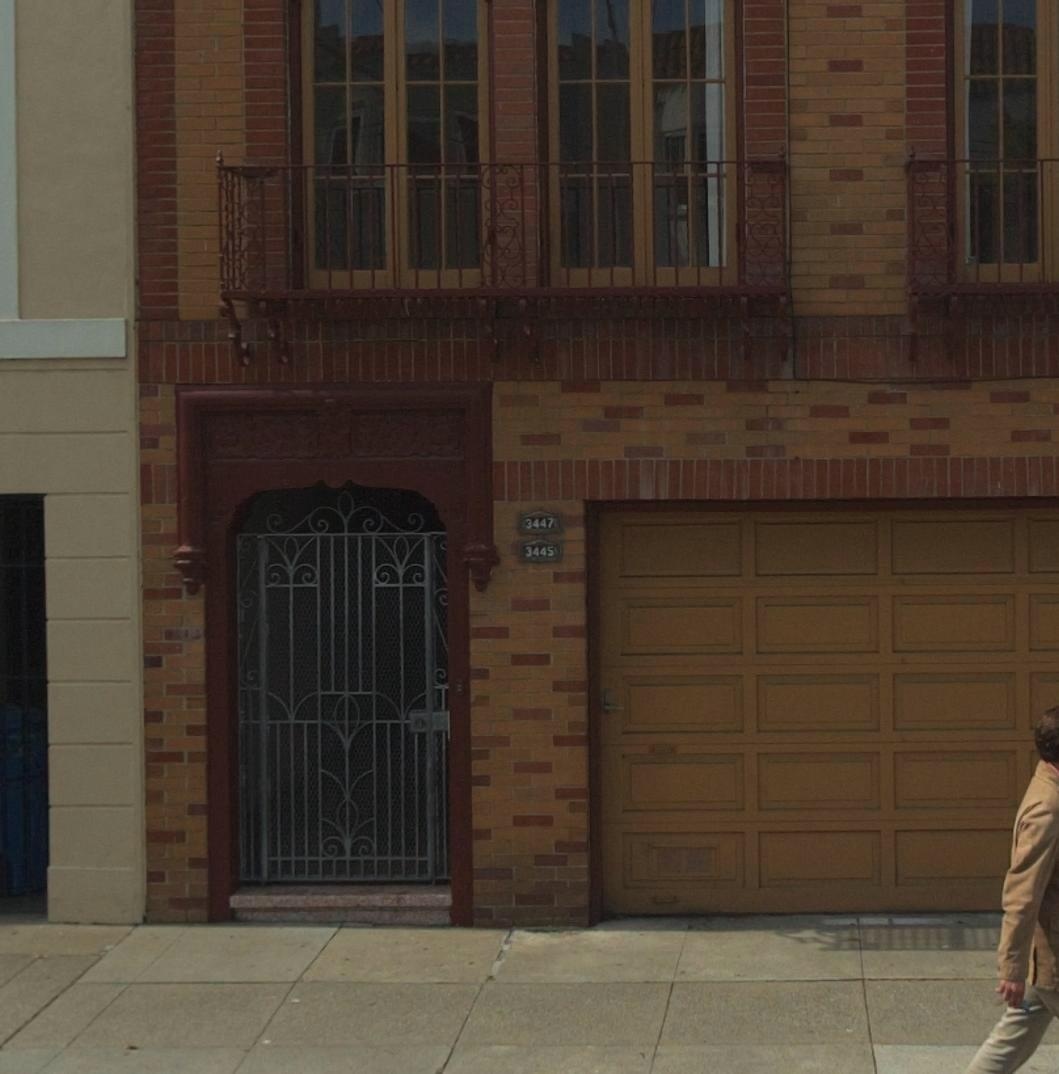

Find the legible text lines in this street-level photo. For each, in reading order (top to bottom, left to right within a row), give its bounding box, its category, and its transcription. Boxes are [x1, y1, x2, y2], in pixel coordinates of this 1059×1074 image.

[524, 516, 555, 531] StreetNumber: 3447
[524, 543, 555, 559] StreetNumber: 3445